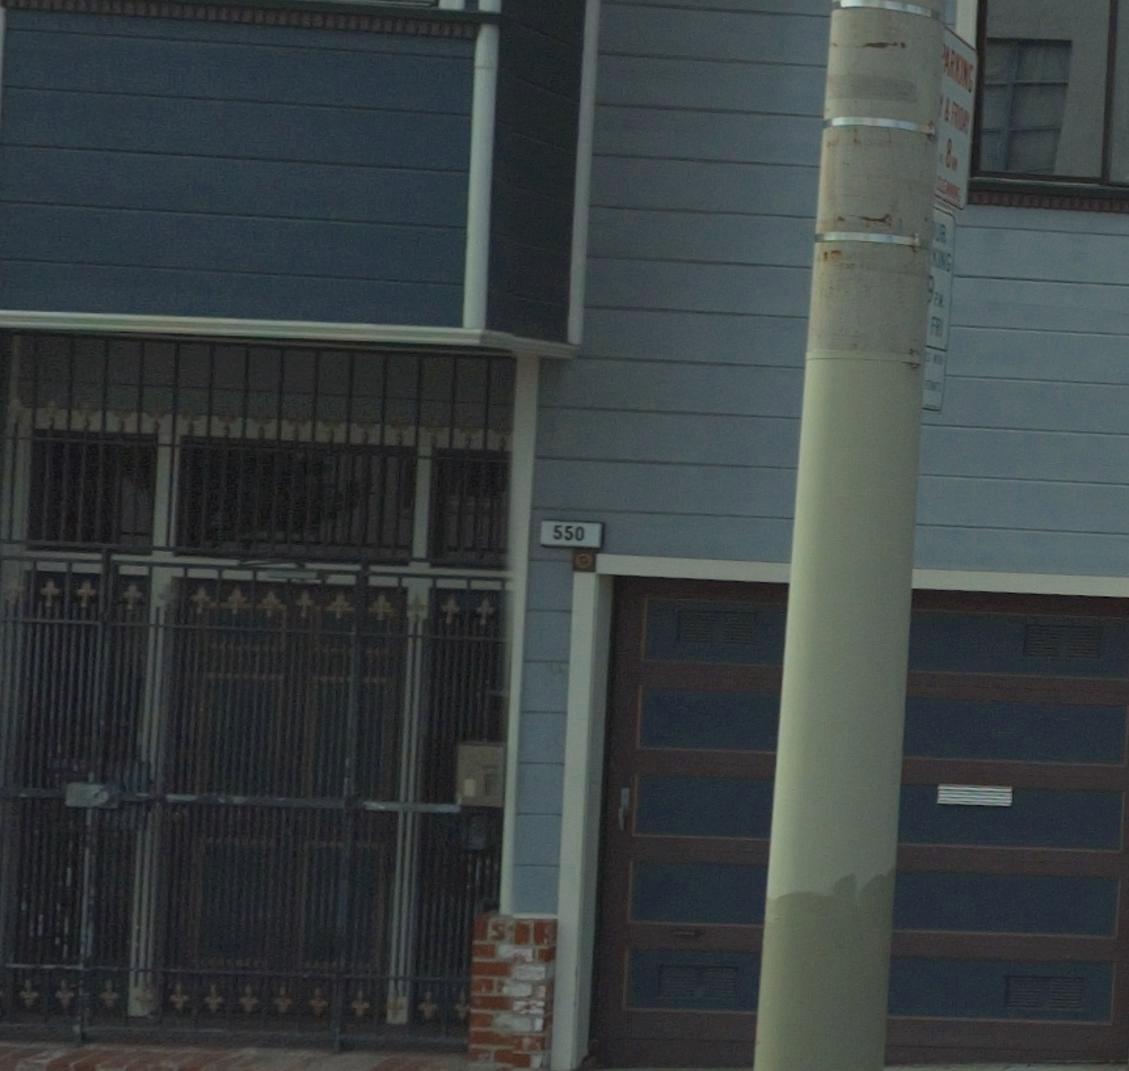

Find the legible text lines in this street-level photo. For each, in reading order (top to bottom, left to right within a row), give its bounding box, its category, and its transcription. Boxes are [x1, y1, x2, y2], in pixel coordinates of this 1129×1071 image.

[551, 524, 586, 542] StreetNumber: 550